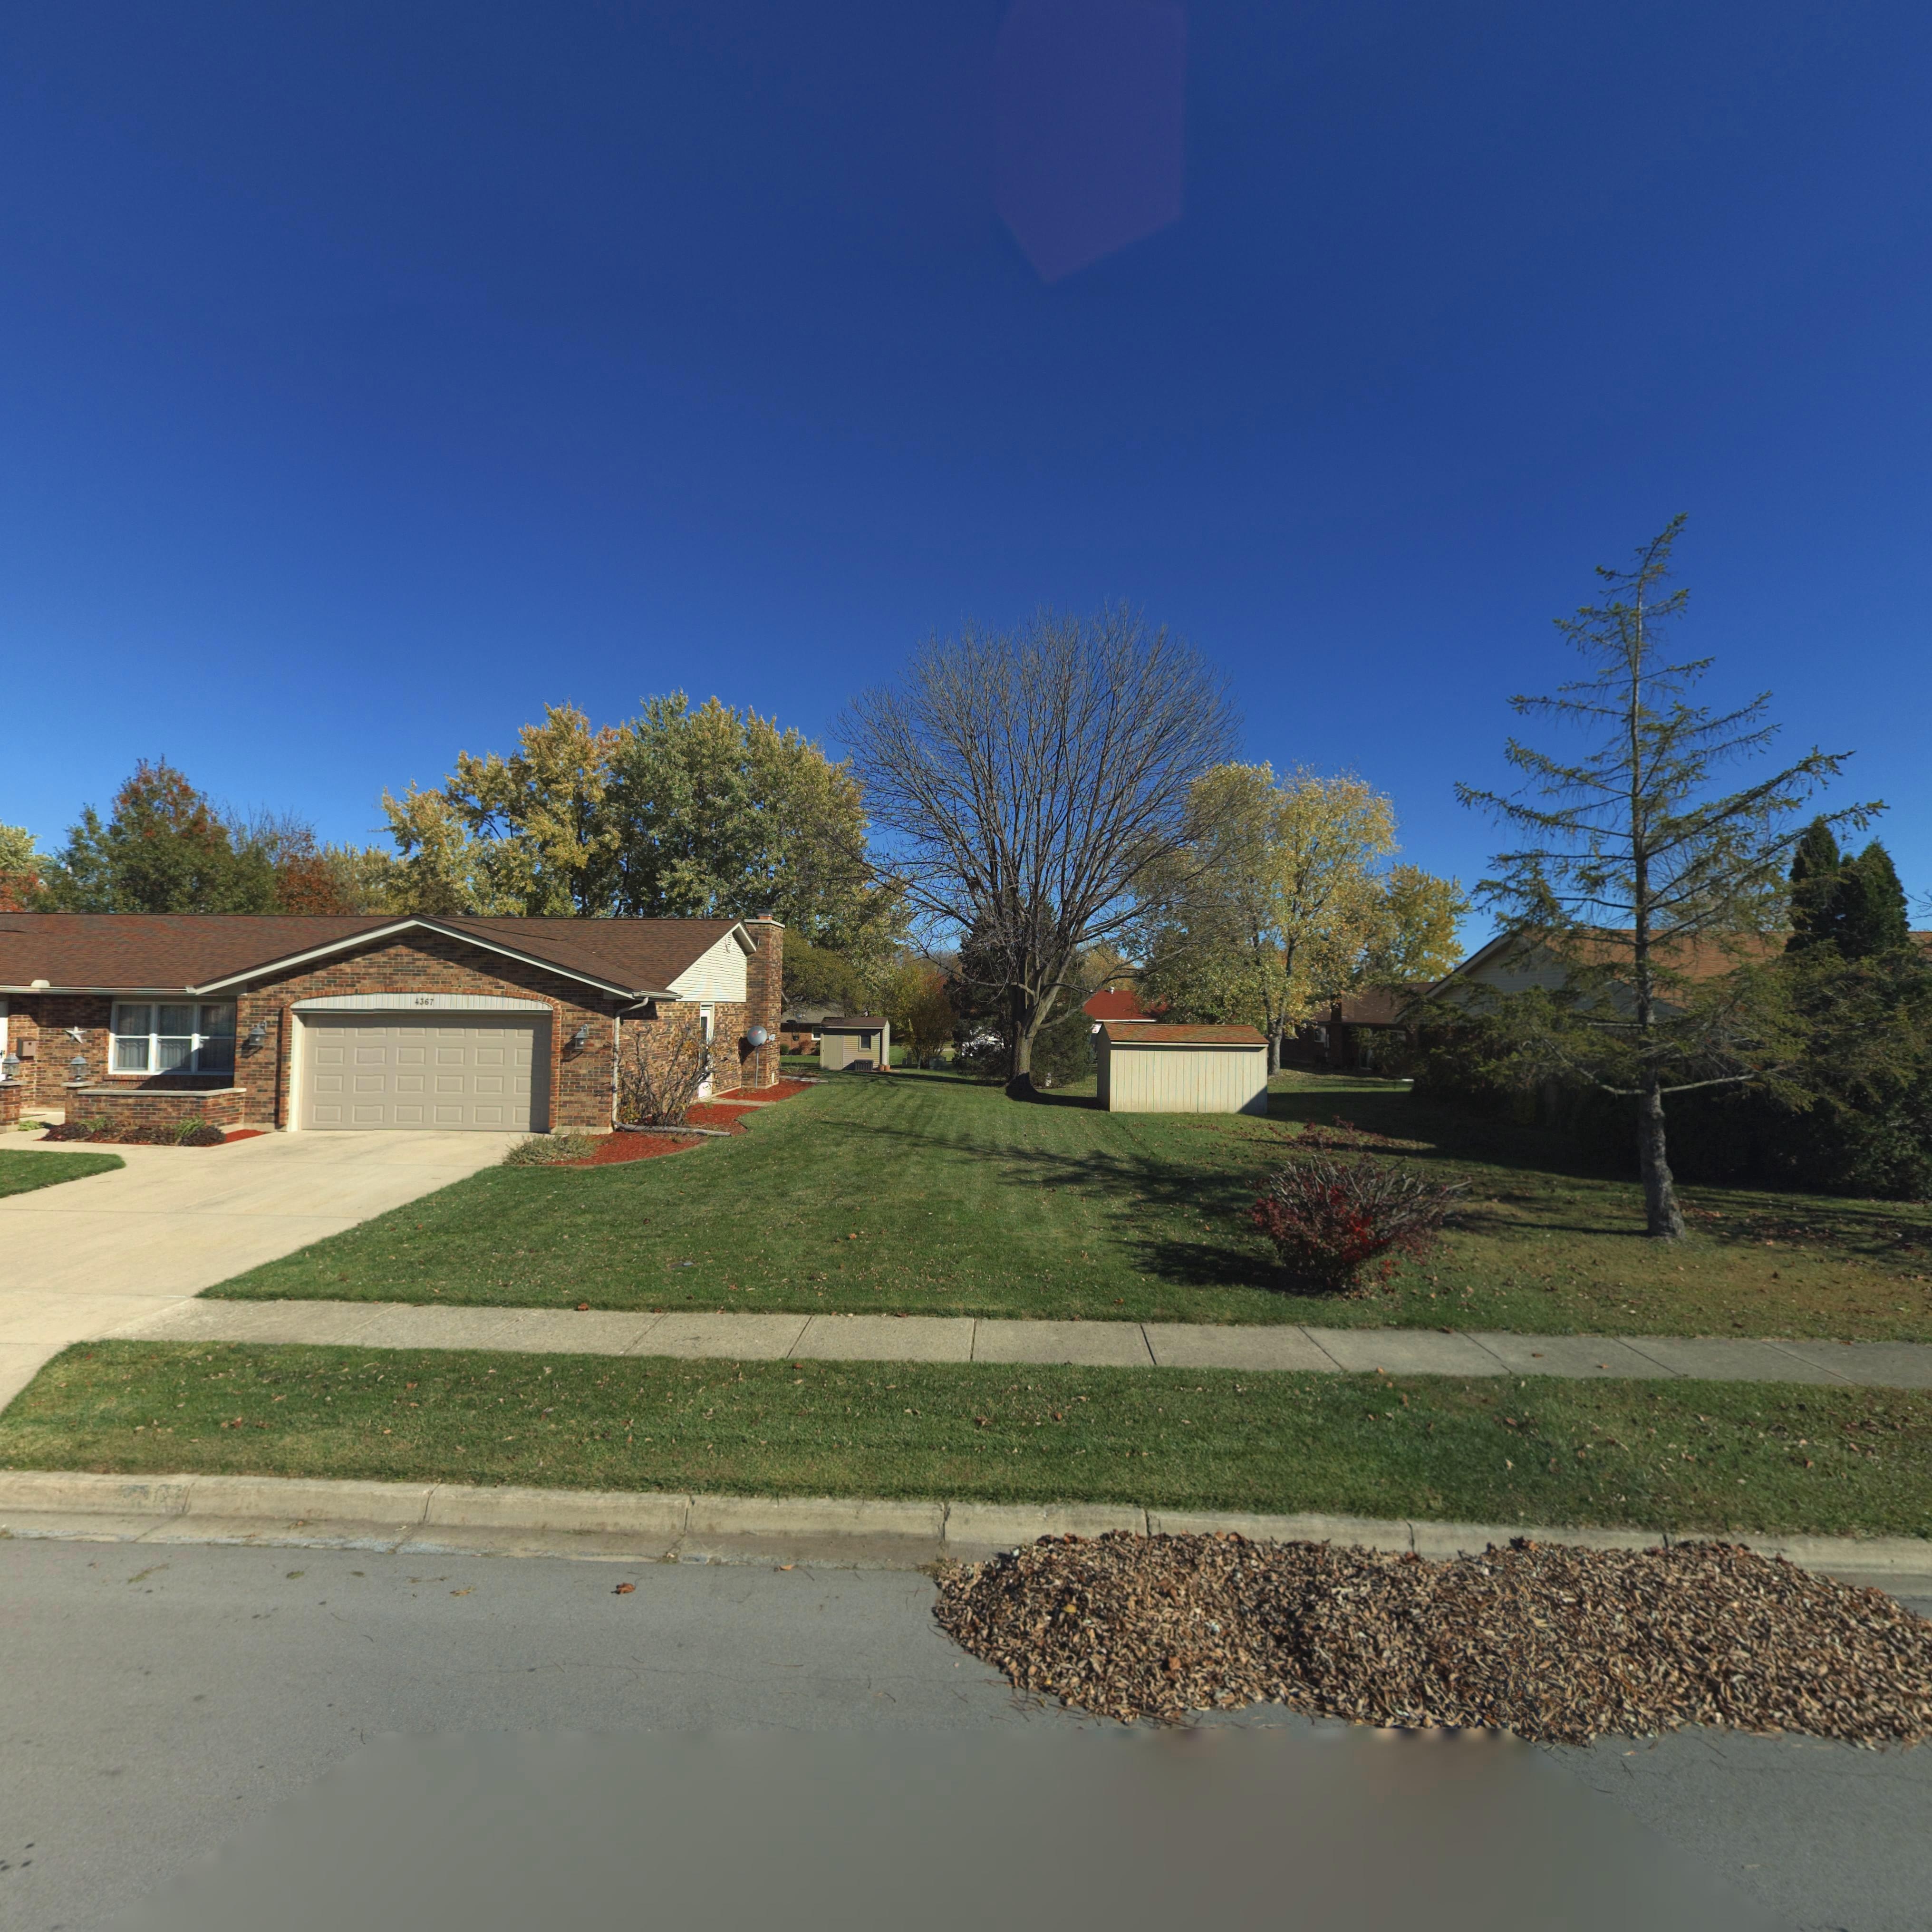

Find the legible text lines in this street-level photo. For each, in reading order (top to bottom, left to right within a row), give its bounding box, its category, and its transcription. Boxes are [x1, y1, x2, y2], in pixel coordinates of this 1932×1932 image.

[414, 998, 435, 1006] StreetNumber: 4367